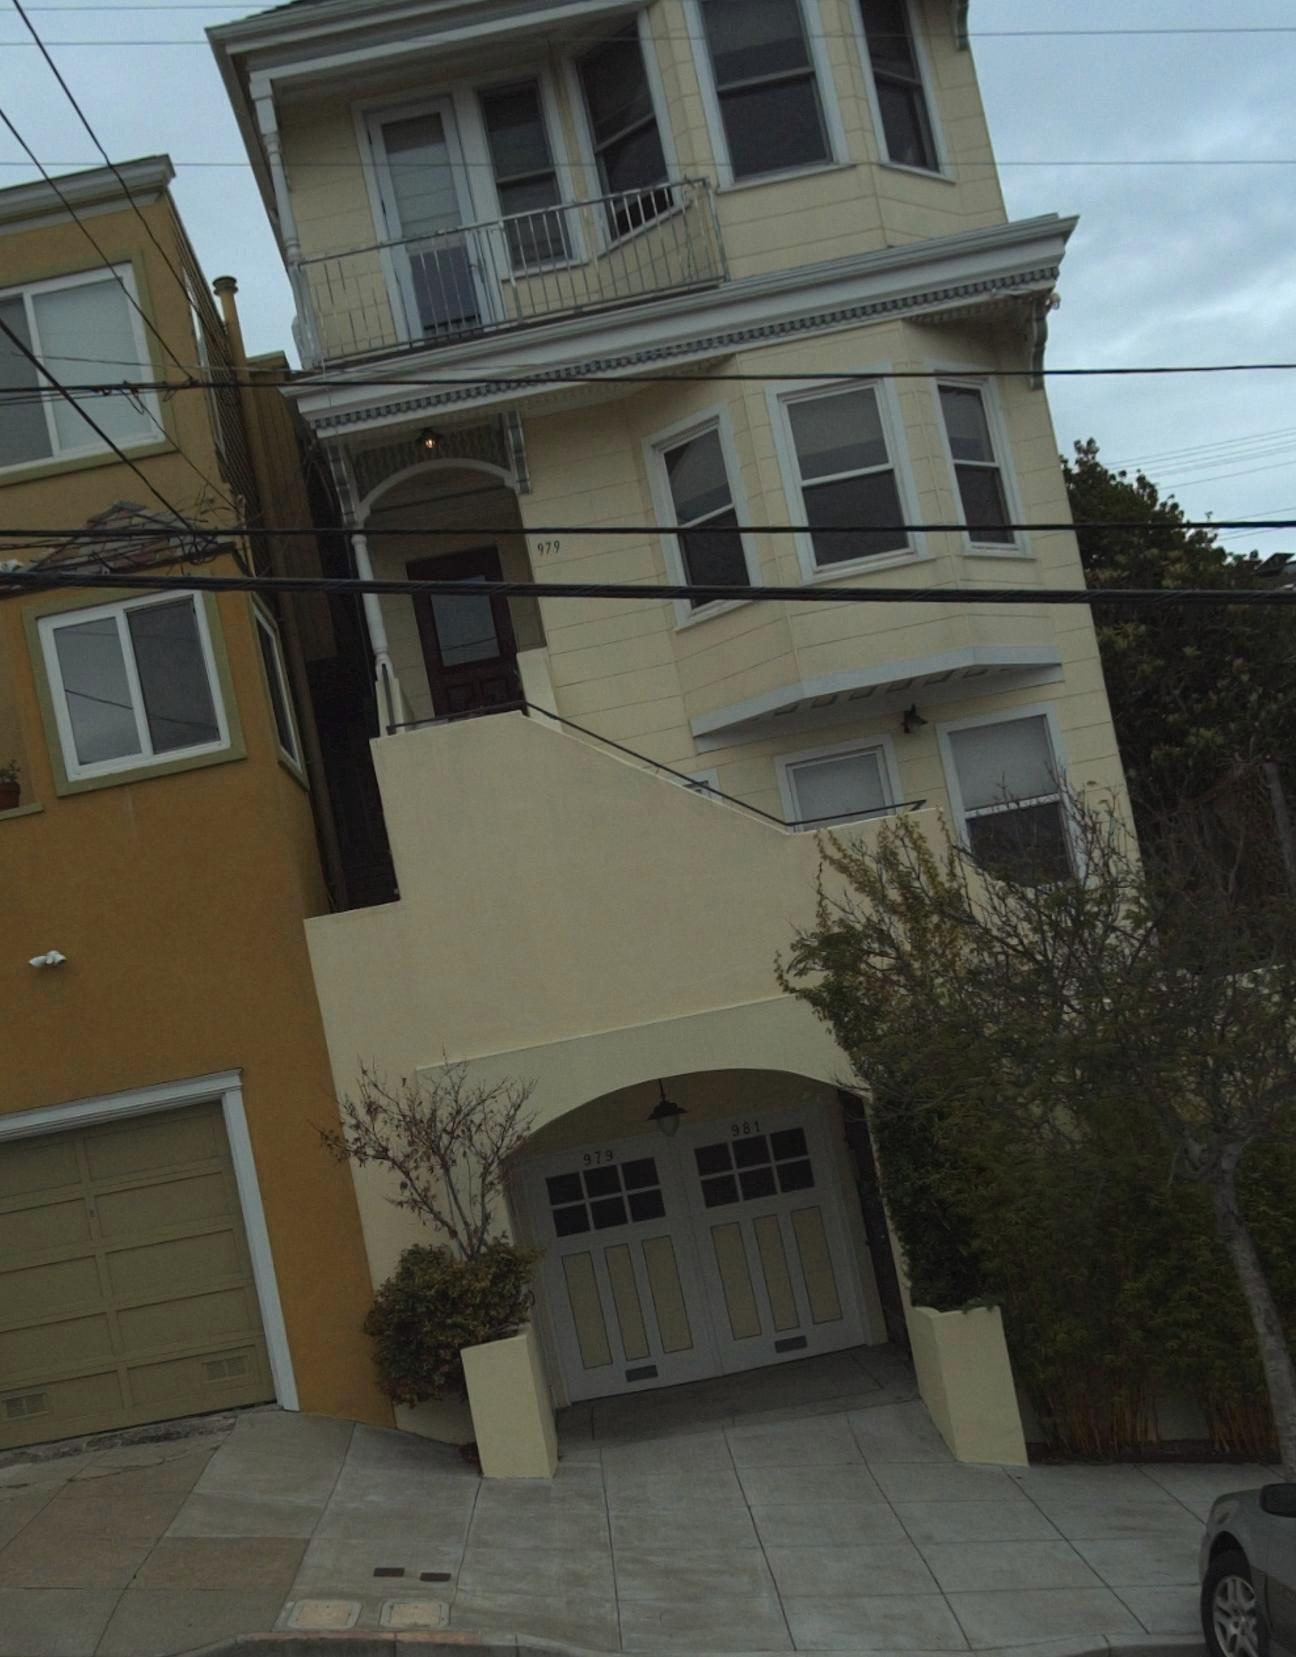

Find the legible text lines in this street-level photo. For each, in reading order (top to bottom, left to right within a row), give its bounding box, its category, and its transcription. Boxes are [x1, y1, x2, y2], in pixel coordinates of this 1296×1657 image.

[537, 539, 561, 558] StreetNumber: 979
[730, 1118, 763, 1139] StreetNumber: 981
[582, 1147, 616, 1168] StreetNumber: 979